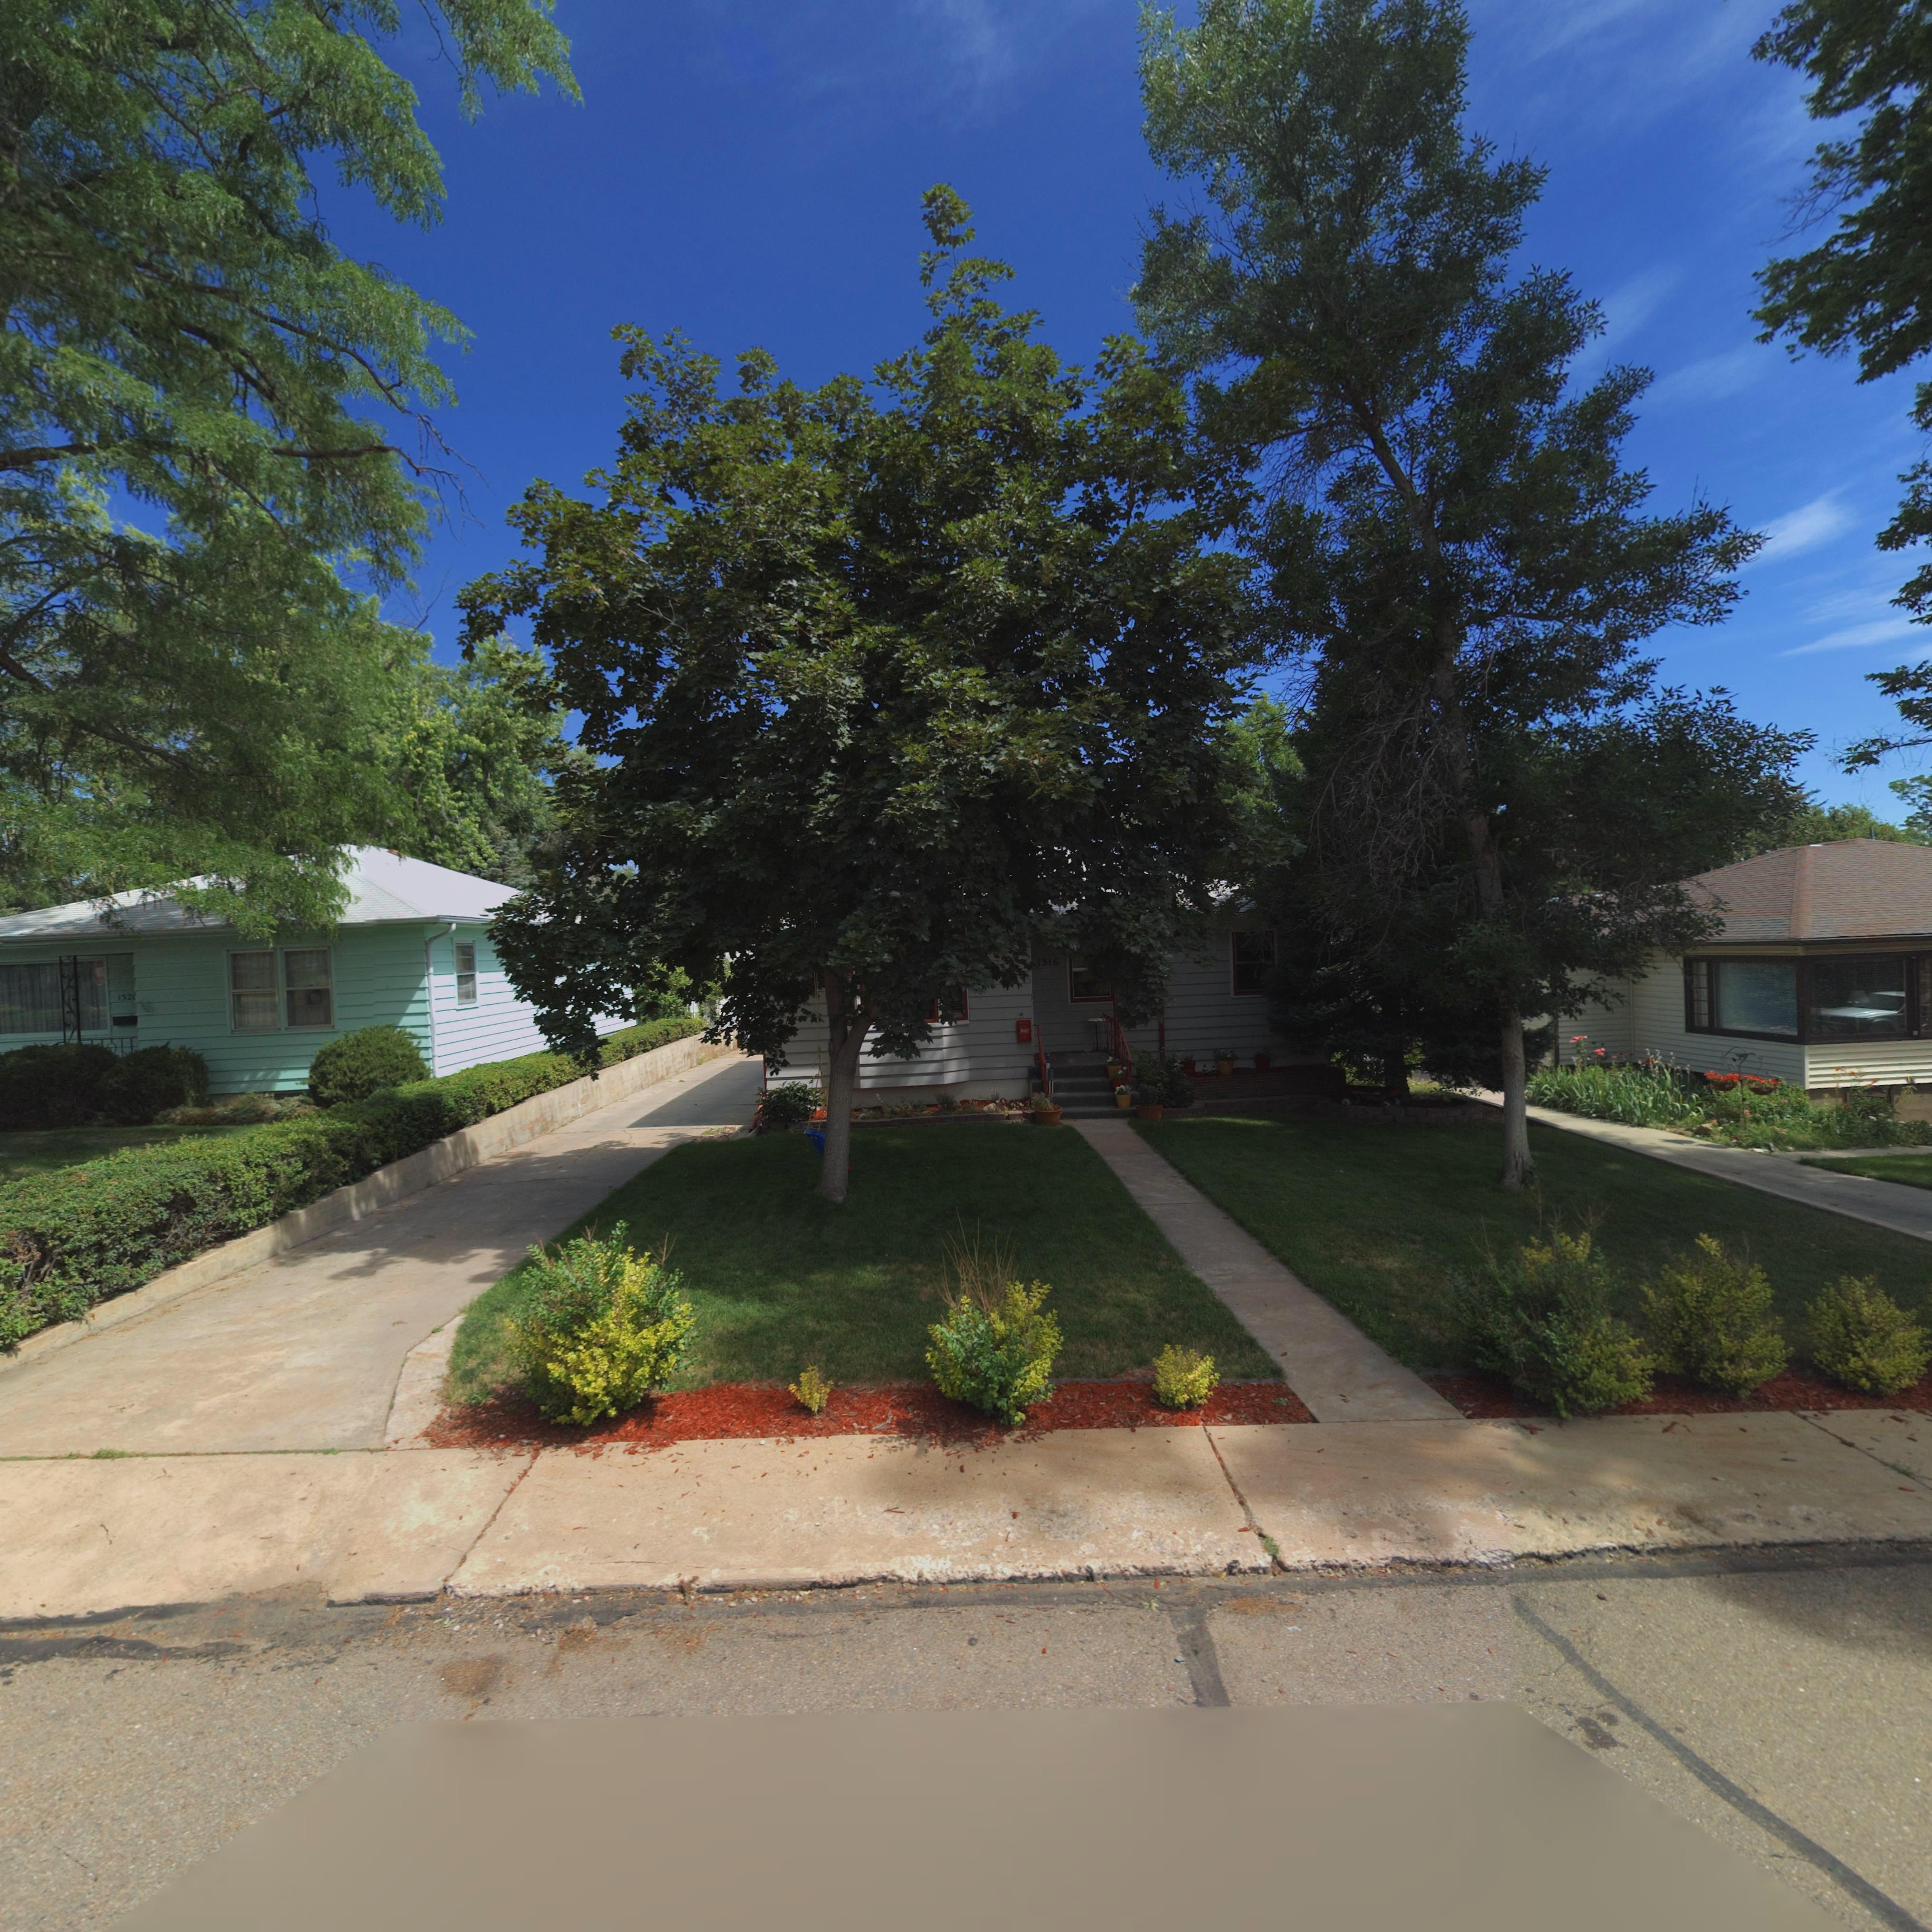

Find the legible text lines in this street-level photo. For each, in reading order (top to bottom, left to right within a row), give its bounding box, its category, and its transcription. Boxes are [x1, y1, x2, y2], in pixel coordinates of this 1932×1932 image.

[1037, 957, 1059, 966] StreetNumber: 1316
[117, 992, 136, 1001] StreetNumber: 132*